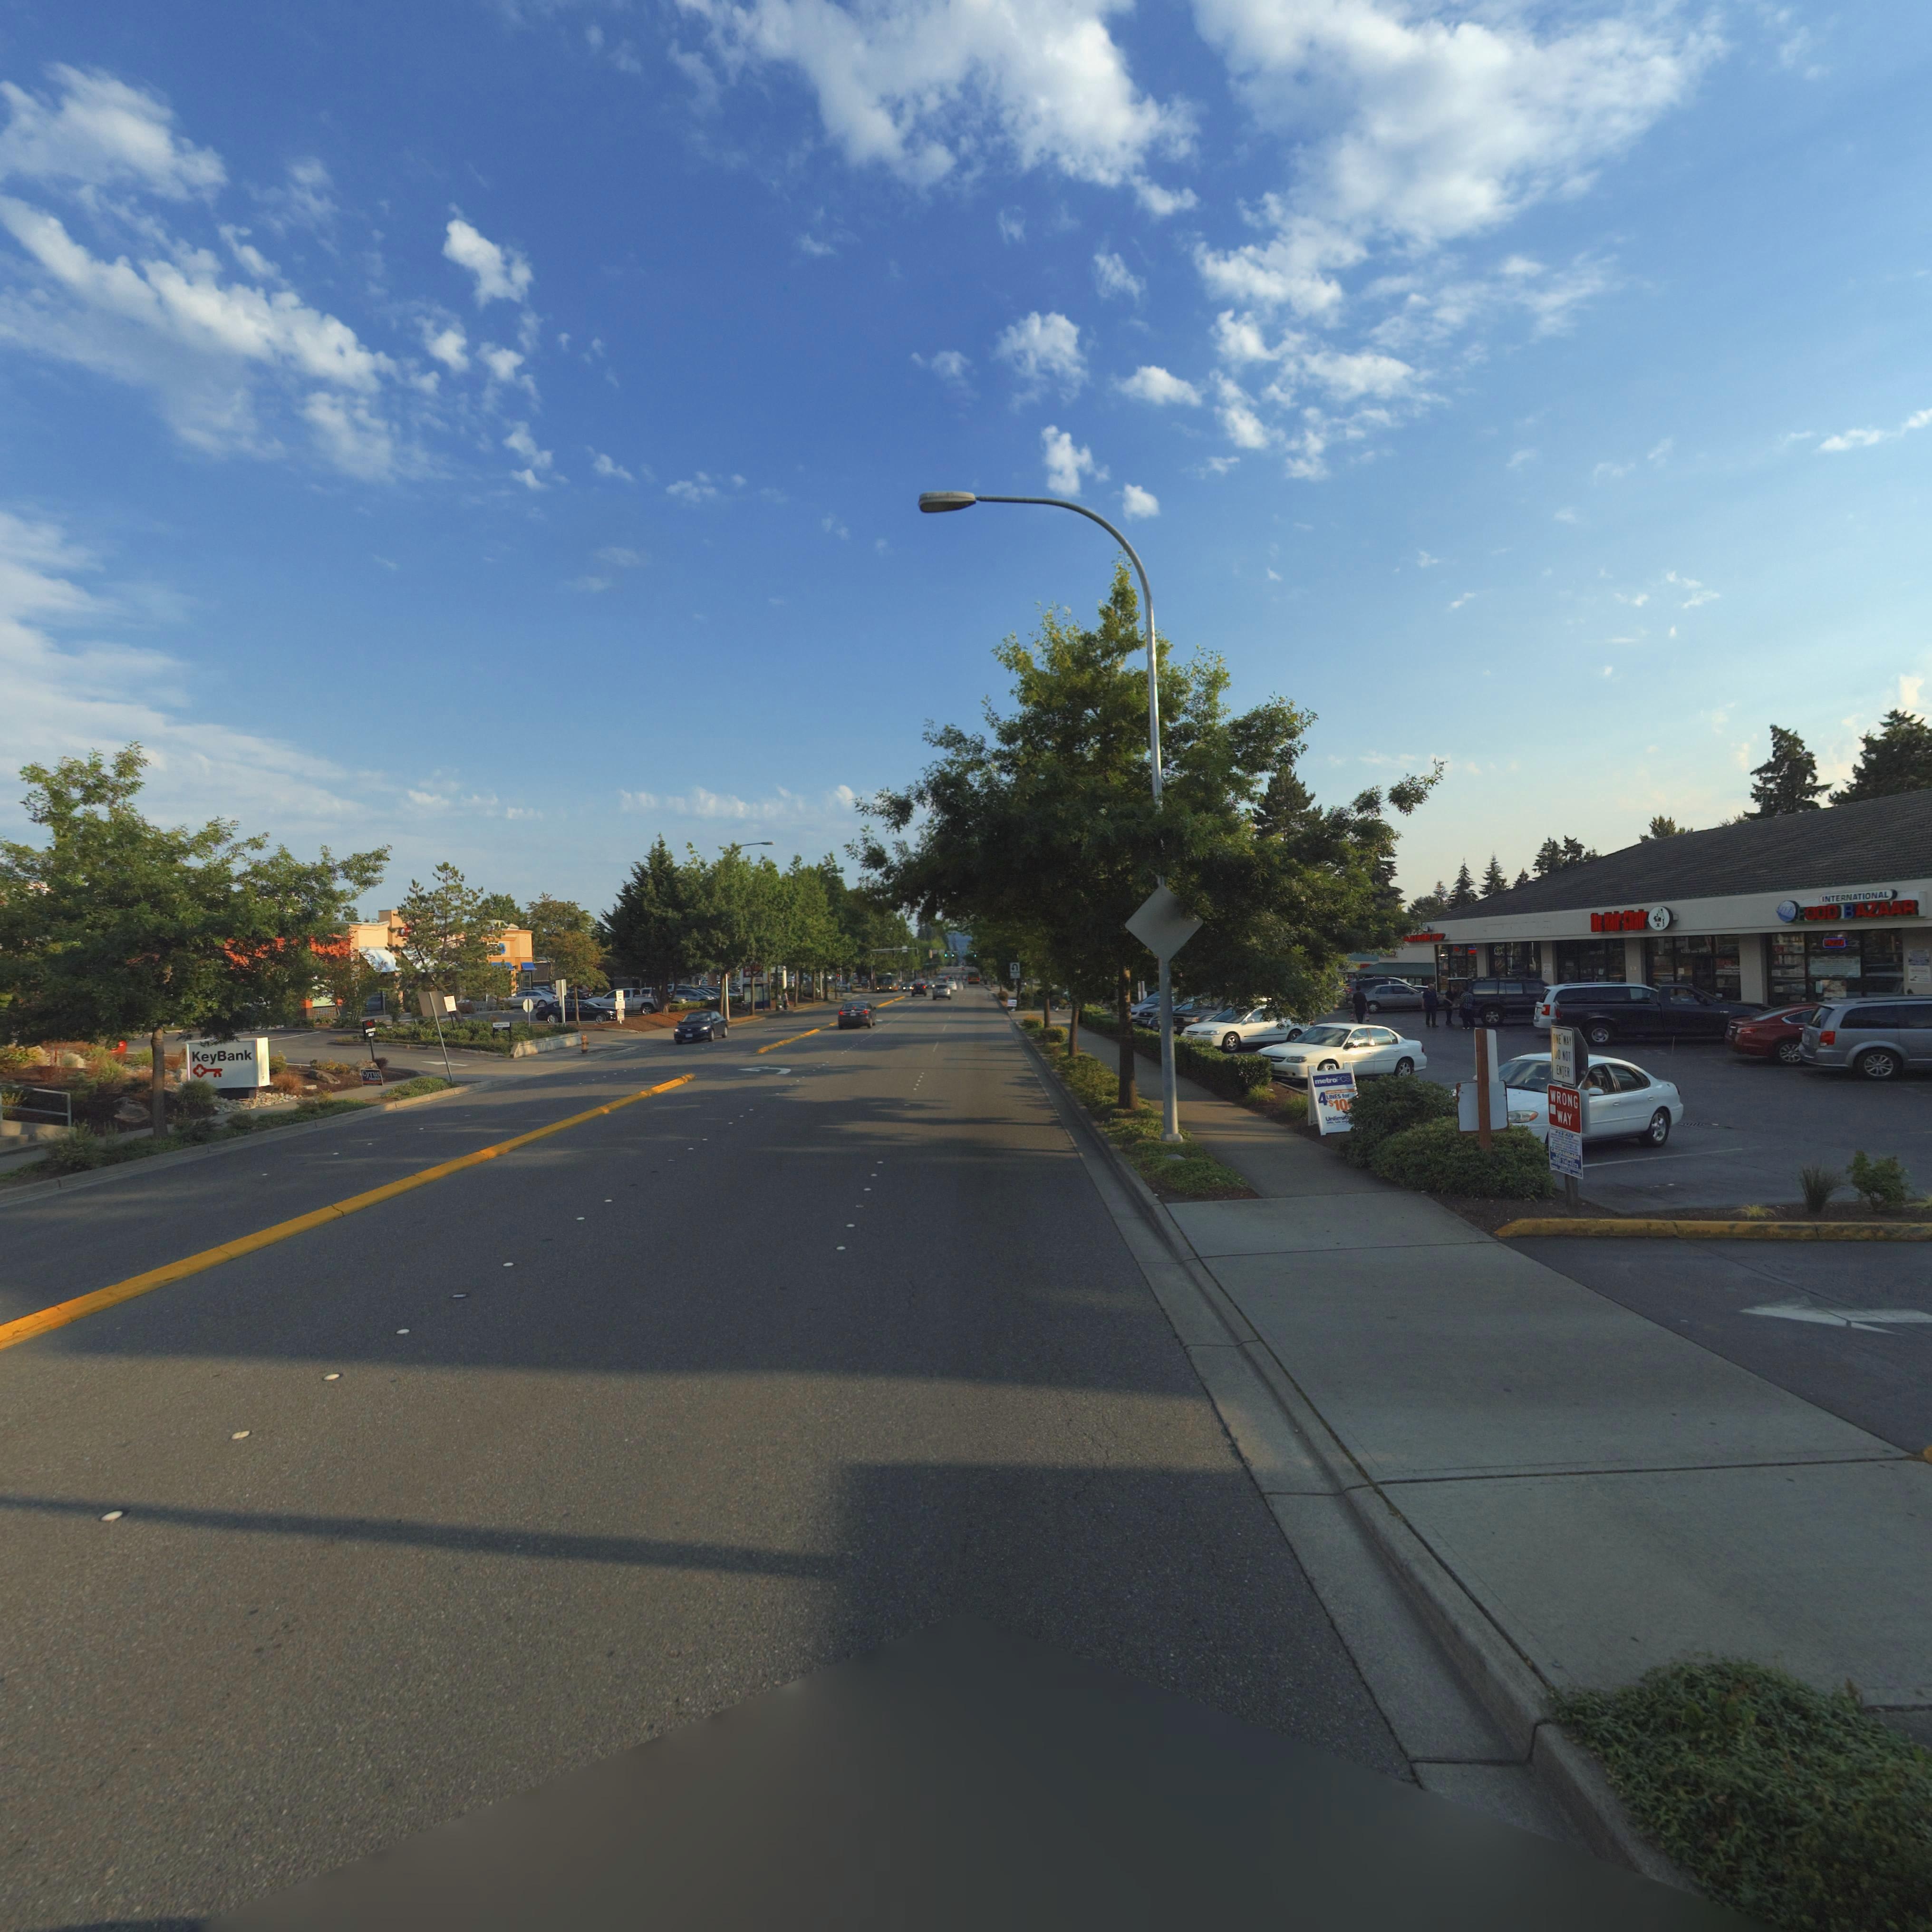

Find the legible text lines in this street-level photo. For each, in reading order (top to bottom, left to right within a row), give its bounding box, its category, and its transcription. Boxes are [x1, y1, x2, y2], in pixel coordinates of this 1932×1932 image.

[1821, 890, 1889, 902] BusinessName: INTERNATIONAL
[1797, 898, 1918, 921] BusinessName: FOOD BAZAAR
[1590, 907, 1648, 933] BusinessName: **e Hair Chair
[193, 1050, 251, 1064] BusinessName: KeyBank
[1314, 1075, 1352, 1084] BusinessName: metroPCS